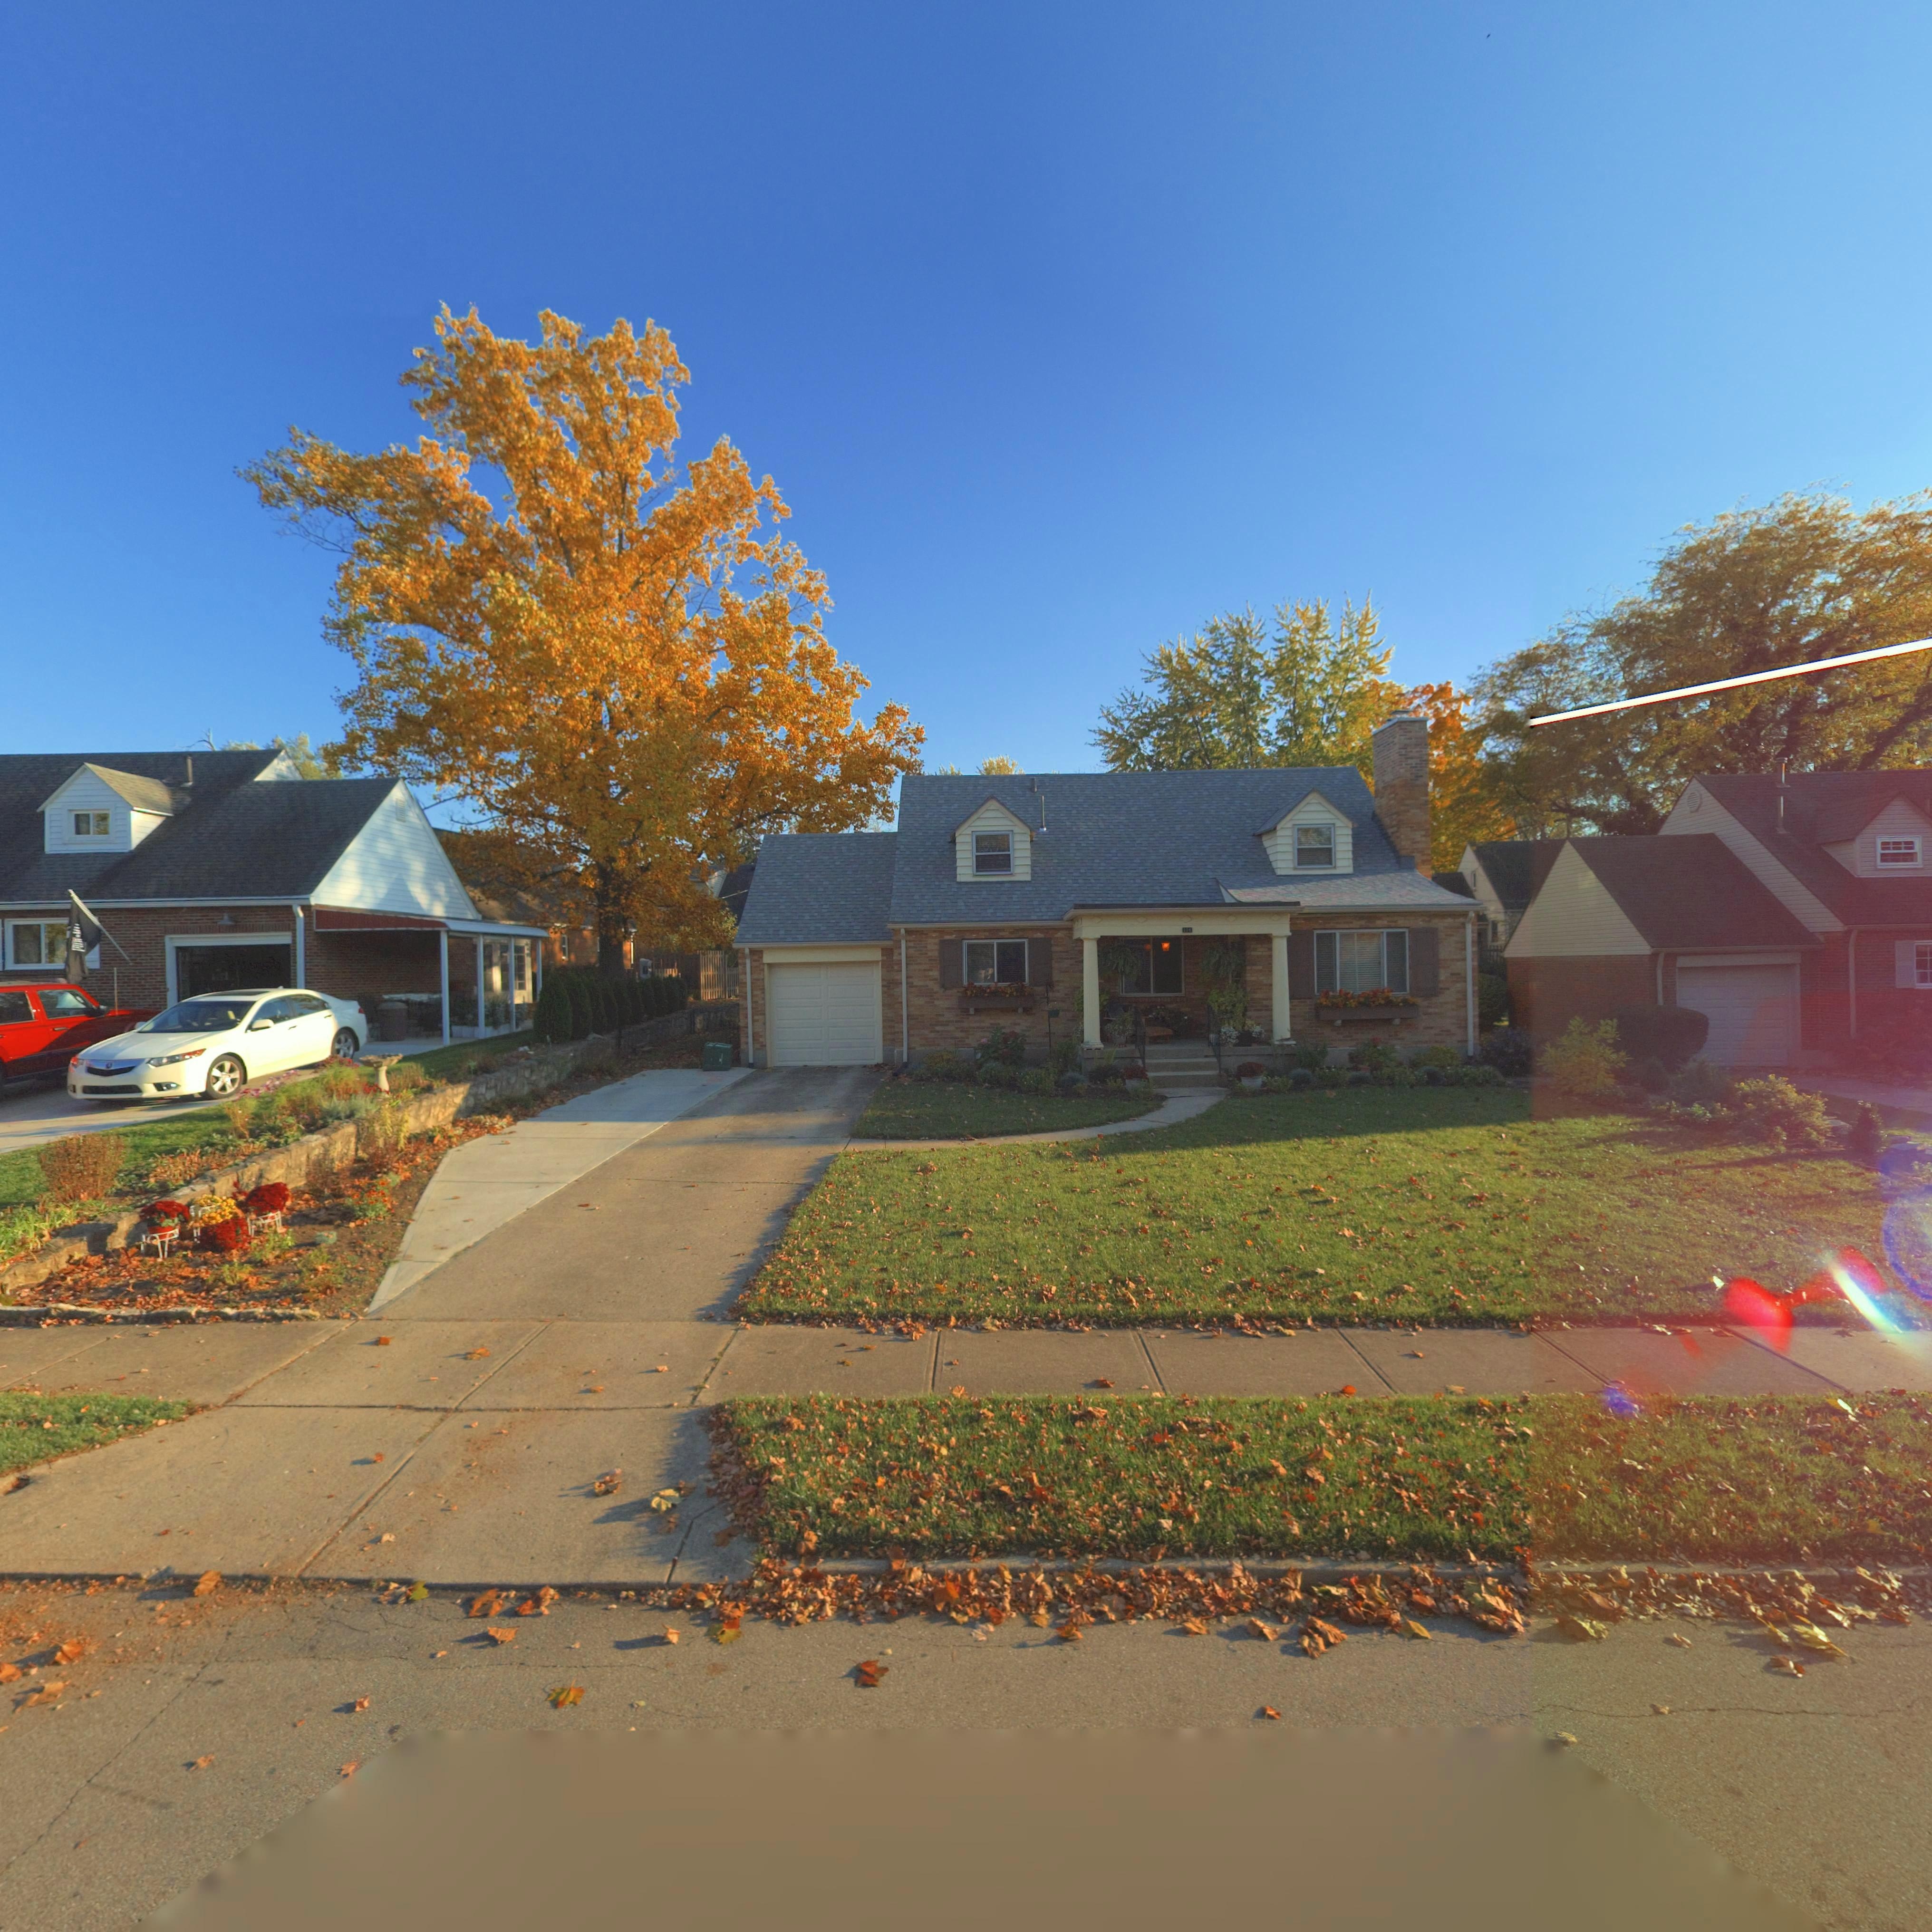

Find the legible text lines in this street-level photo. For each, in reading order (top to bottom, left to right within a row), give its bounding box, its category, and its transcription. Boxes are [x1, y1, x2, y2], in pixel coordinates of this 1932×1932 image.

[1182, 927, 1192, 932] StreetNumber: 11*